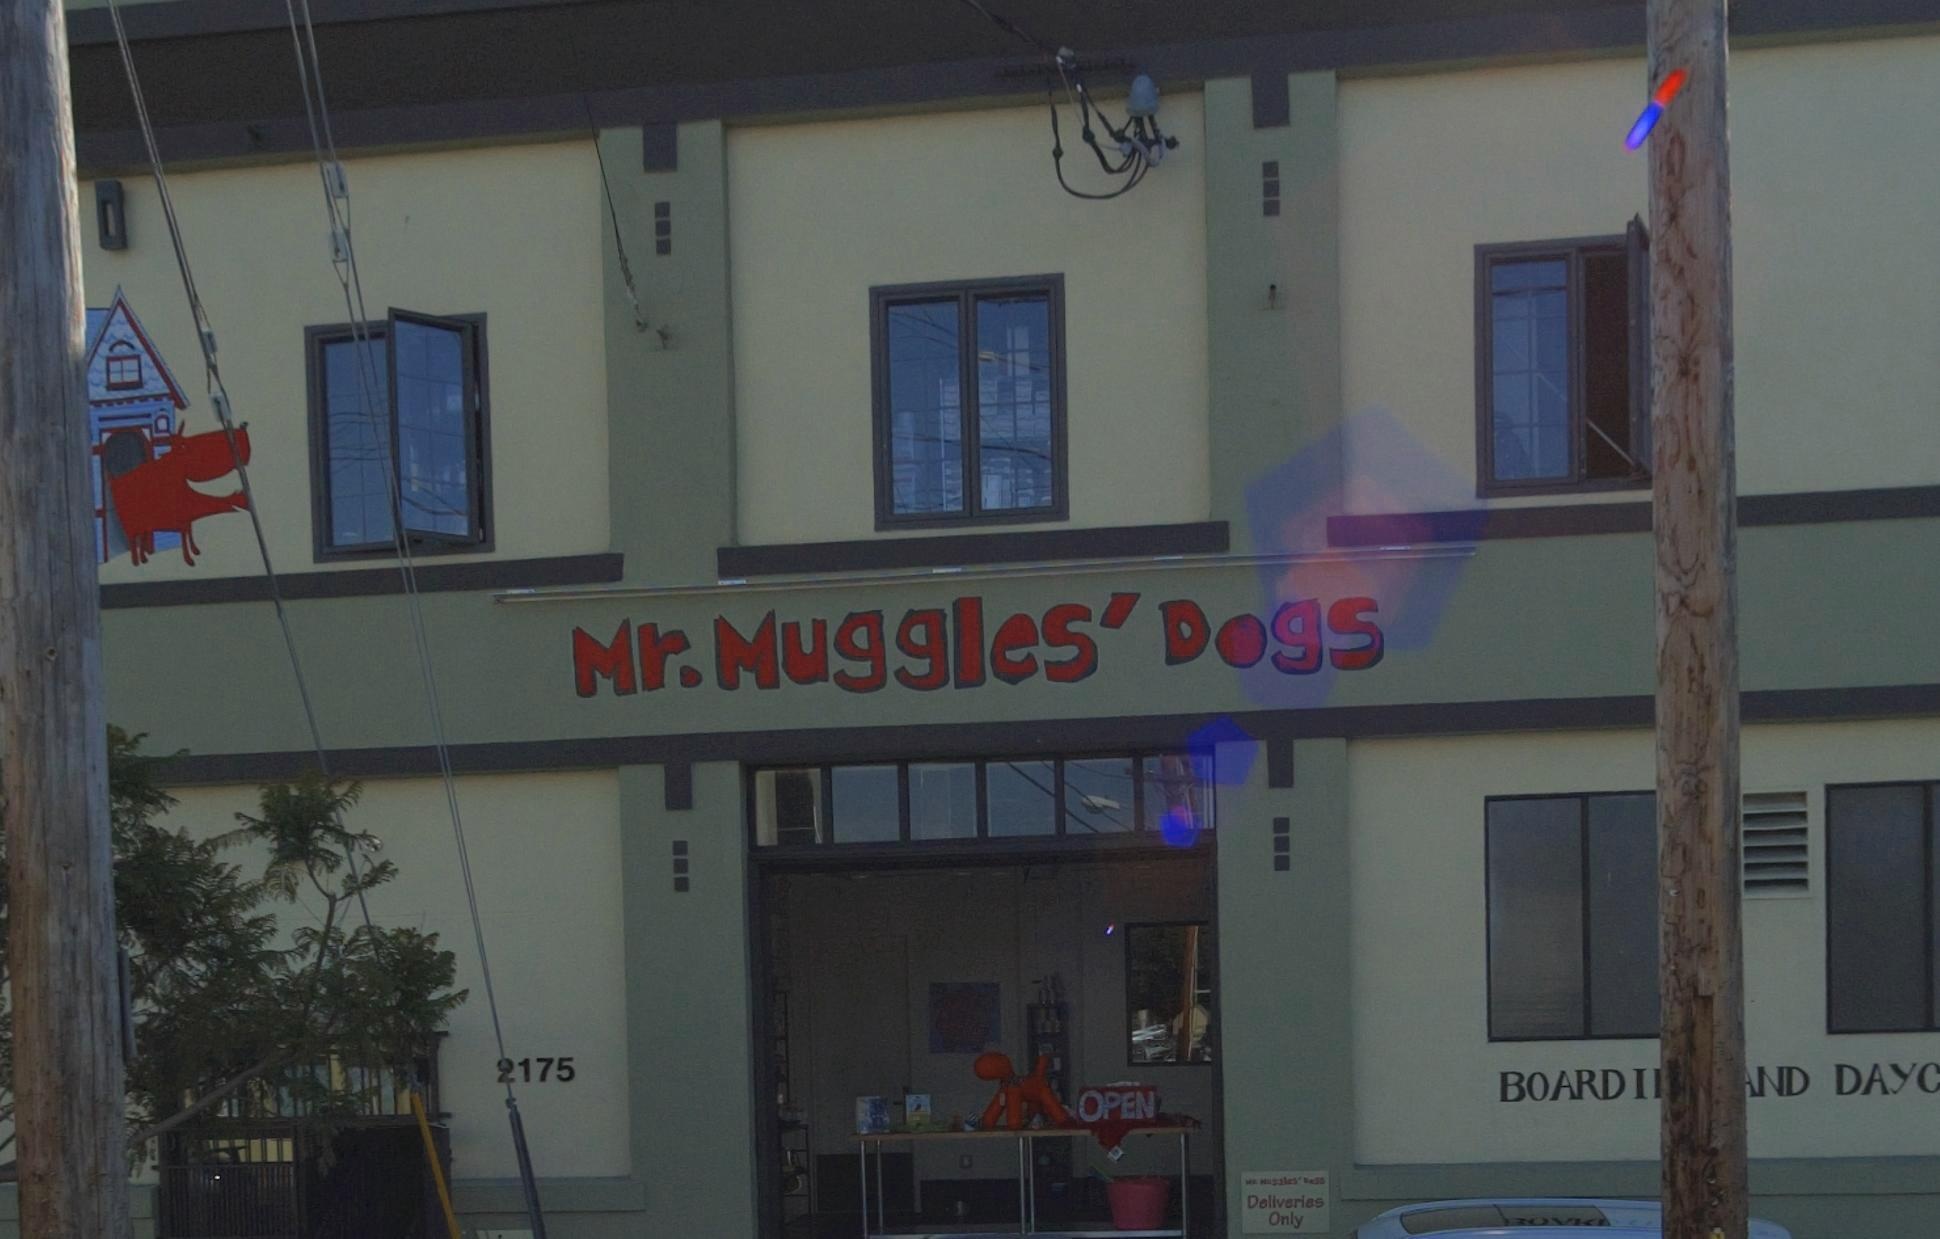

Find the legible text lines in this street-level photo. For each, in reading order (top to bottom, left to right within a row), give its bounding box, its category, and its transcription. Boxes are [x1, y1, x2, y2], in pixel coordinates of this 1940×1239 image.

[565, 589, 1390, 704] BusinessName: Mr. Muggle's Dogs
[494, 1056, 577, 1083] StreetNumber: 2175
[1498, 1066, 1651, 1104] None: BOARDI
[1756, 1062, 1939, 1098] None: ND DAYC
[1076, 1087, 1159, 1122] None: OPEN
[1244, 1176, 1326, 1186] BusinessName: MR. MUGGLES' DOGS
[1246, 1193, 1324, 1209] None: Deliveries
[1267, 1210, 1306, 1229] None: Only